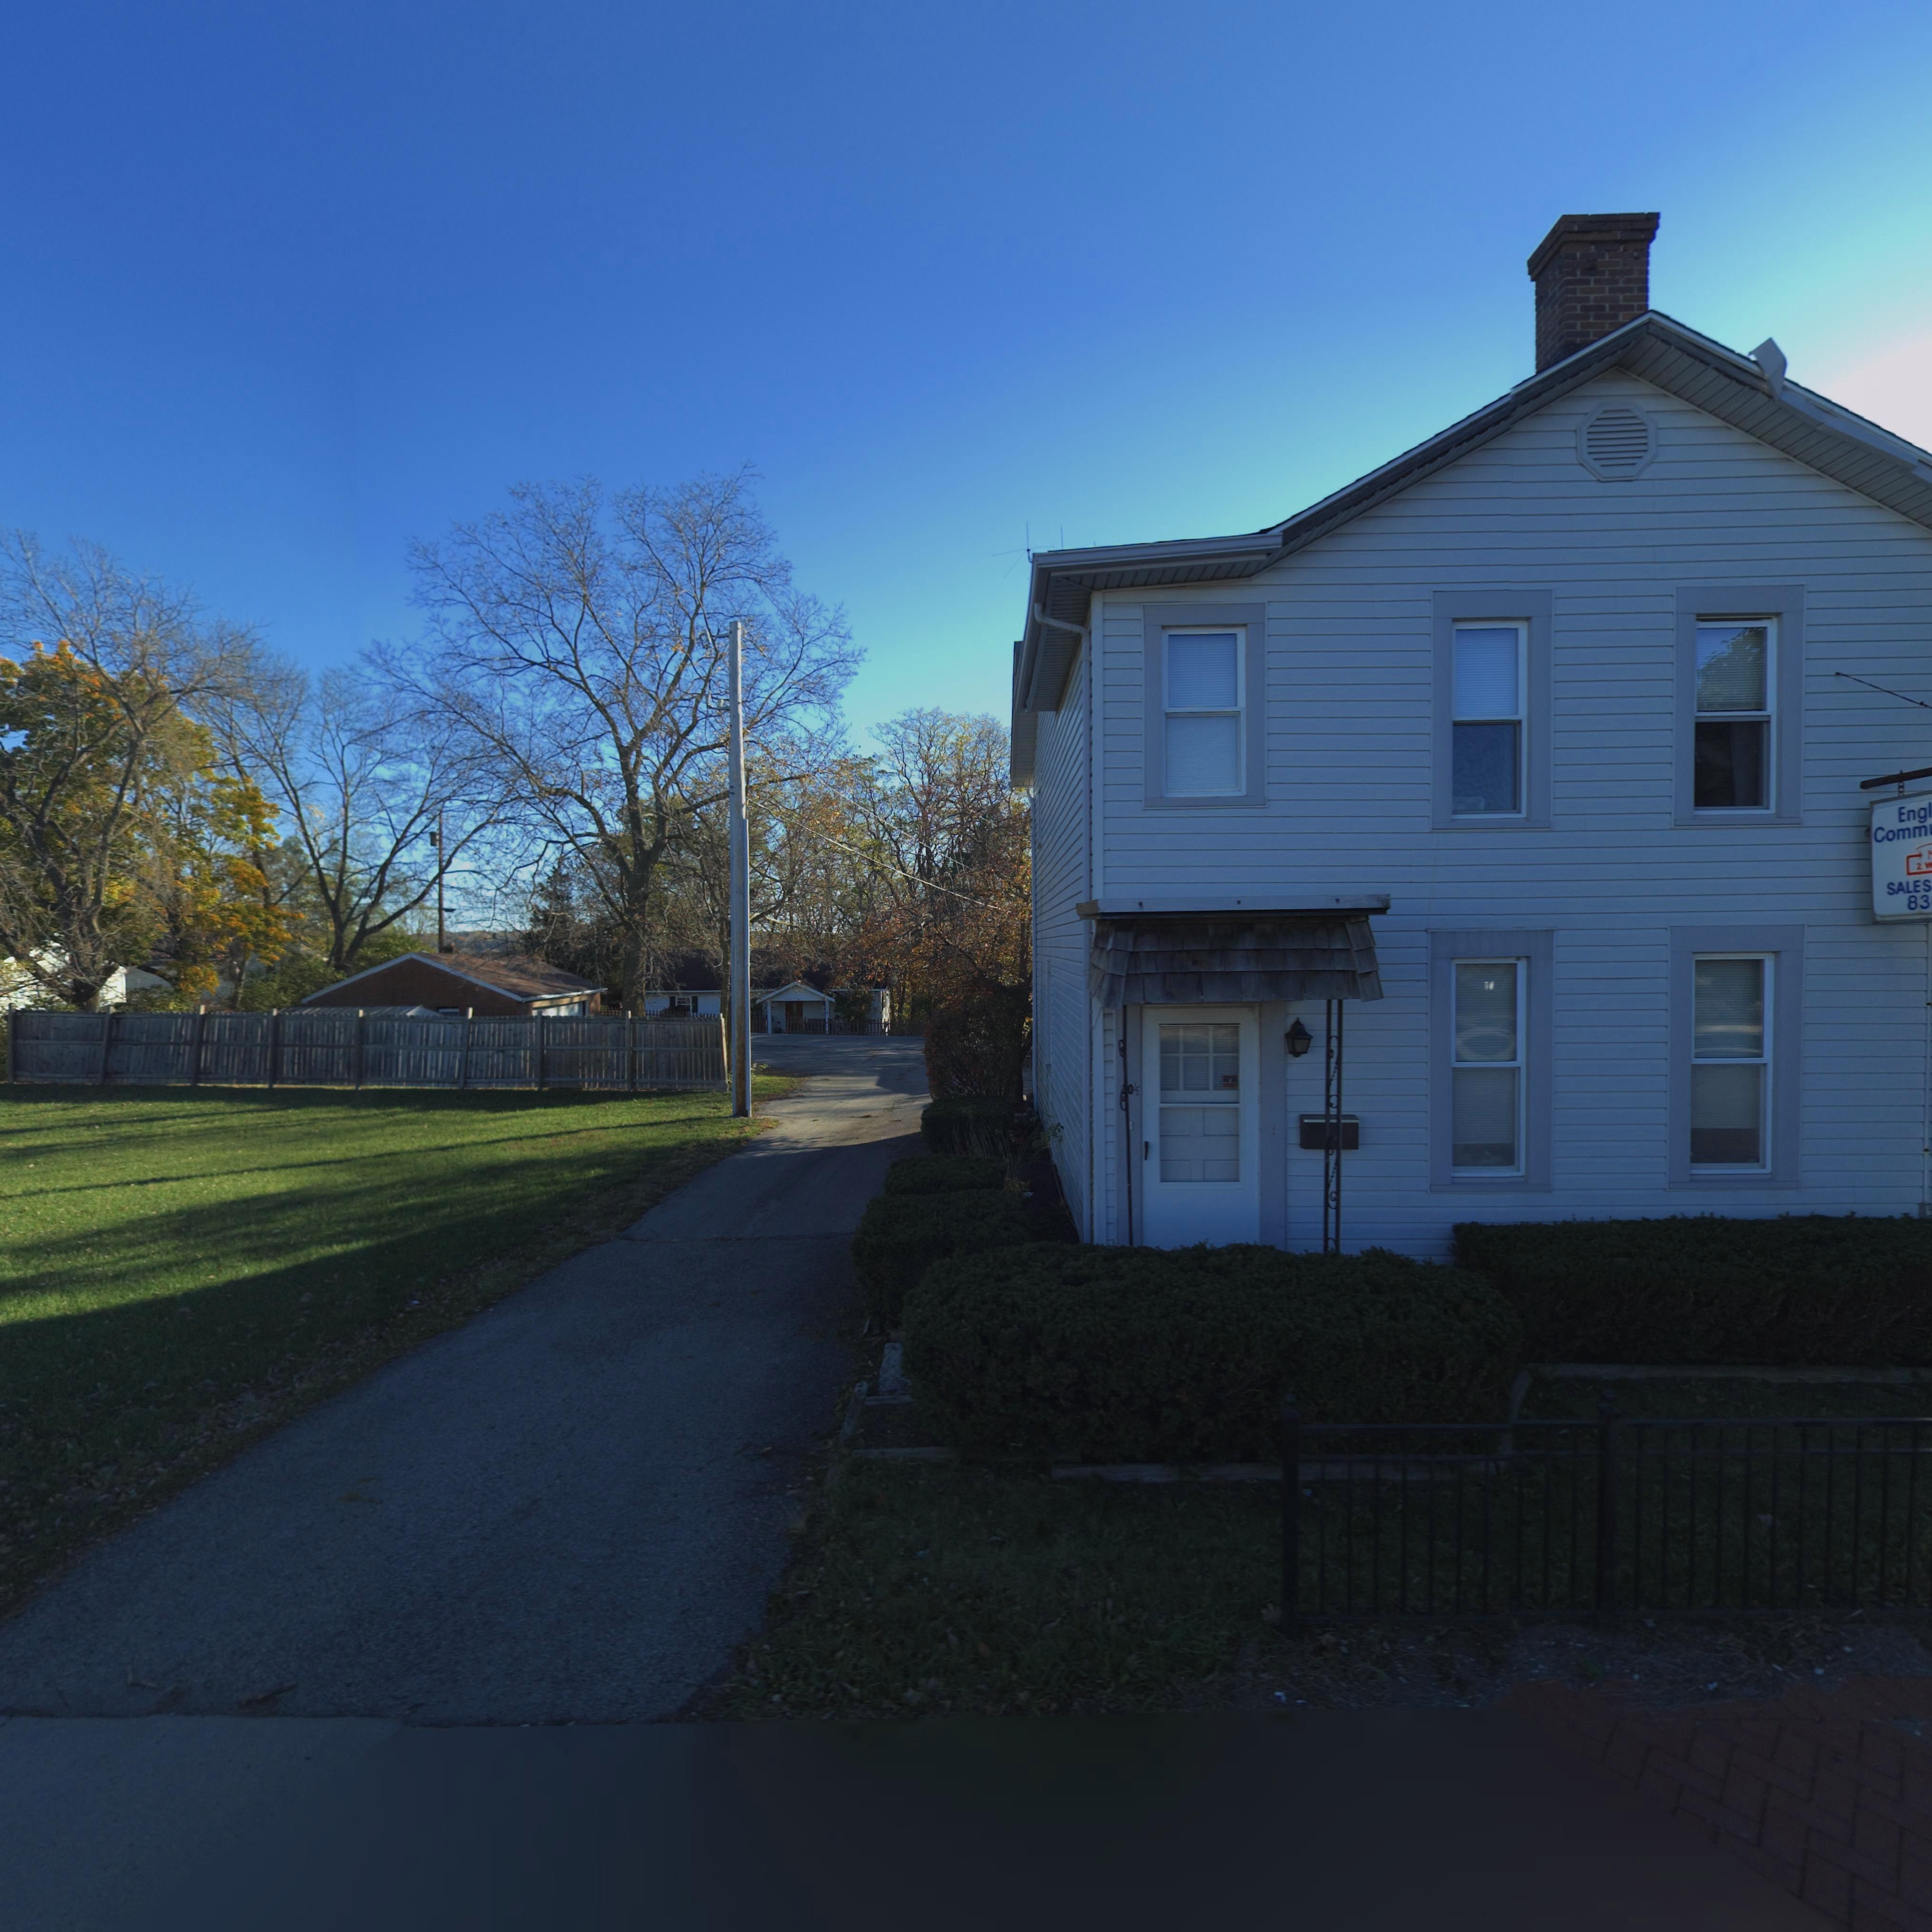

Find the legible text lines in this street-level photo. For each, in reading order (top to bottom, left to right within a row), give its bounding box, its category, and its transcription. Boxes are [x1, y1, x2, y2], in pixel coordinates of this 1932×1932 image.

[1128, 1082, 1140, 1096] StreetNumber: 0 1/2